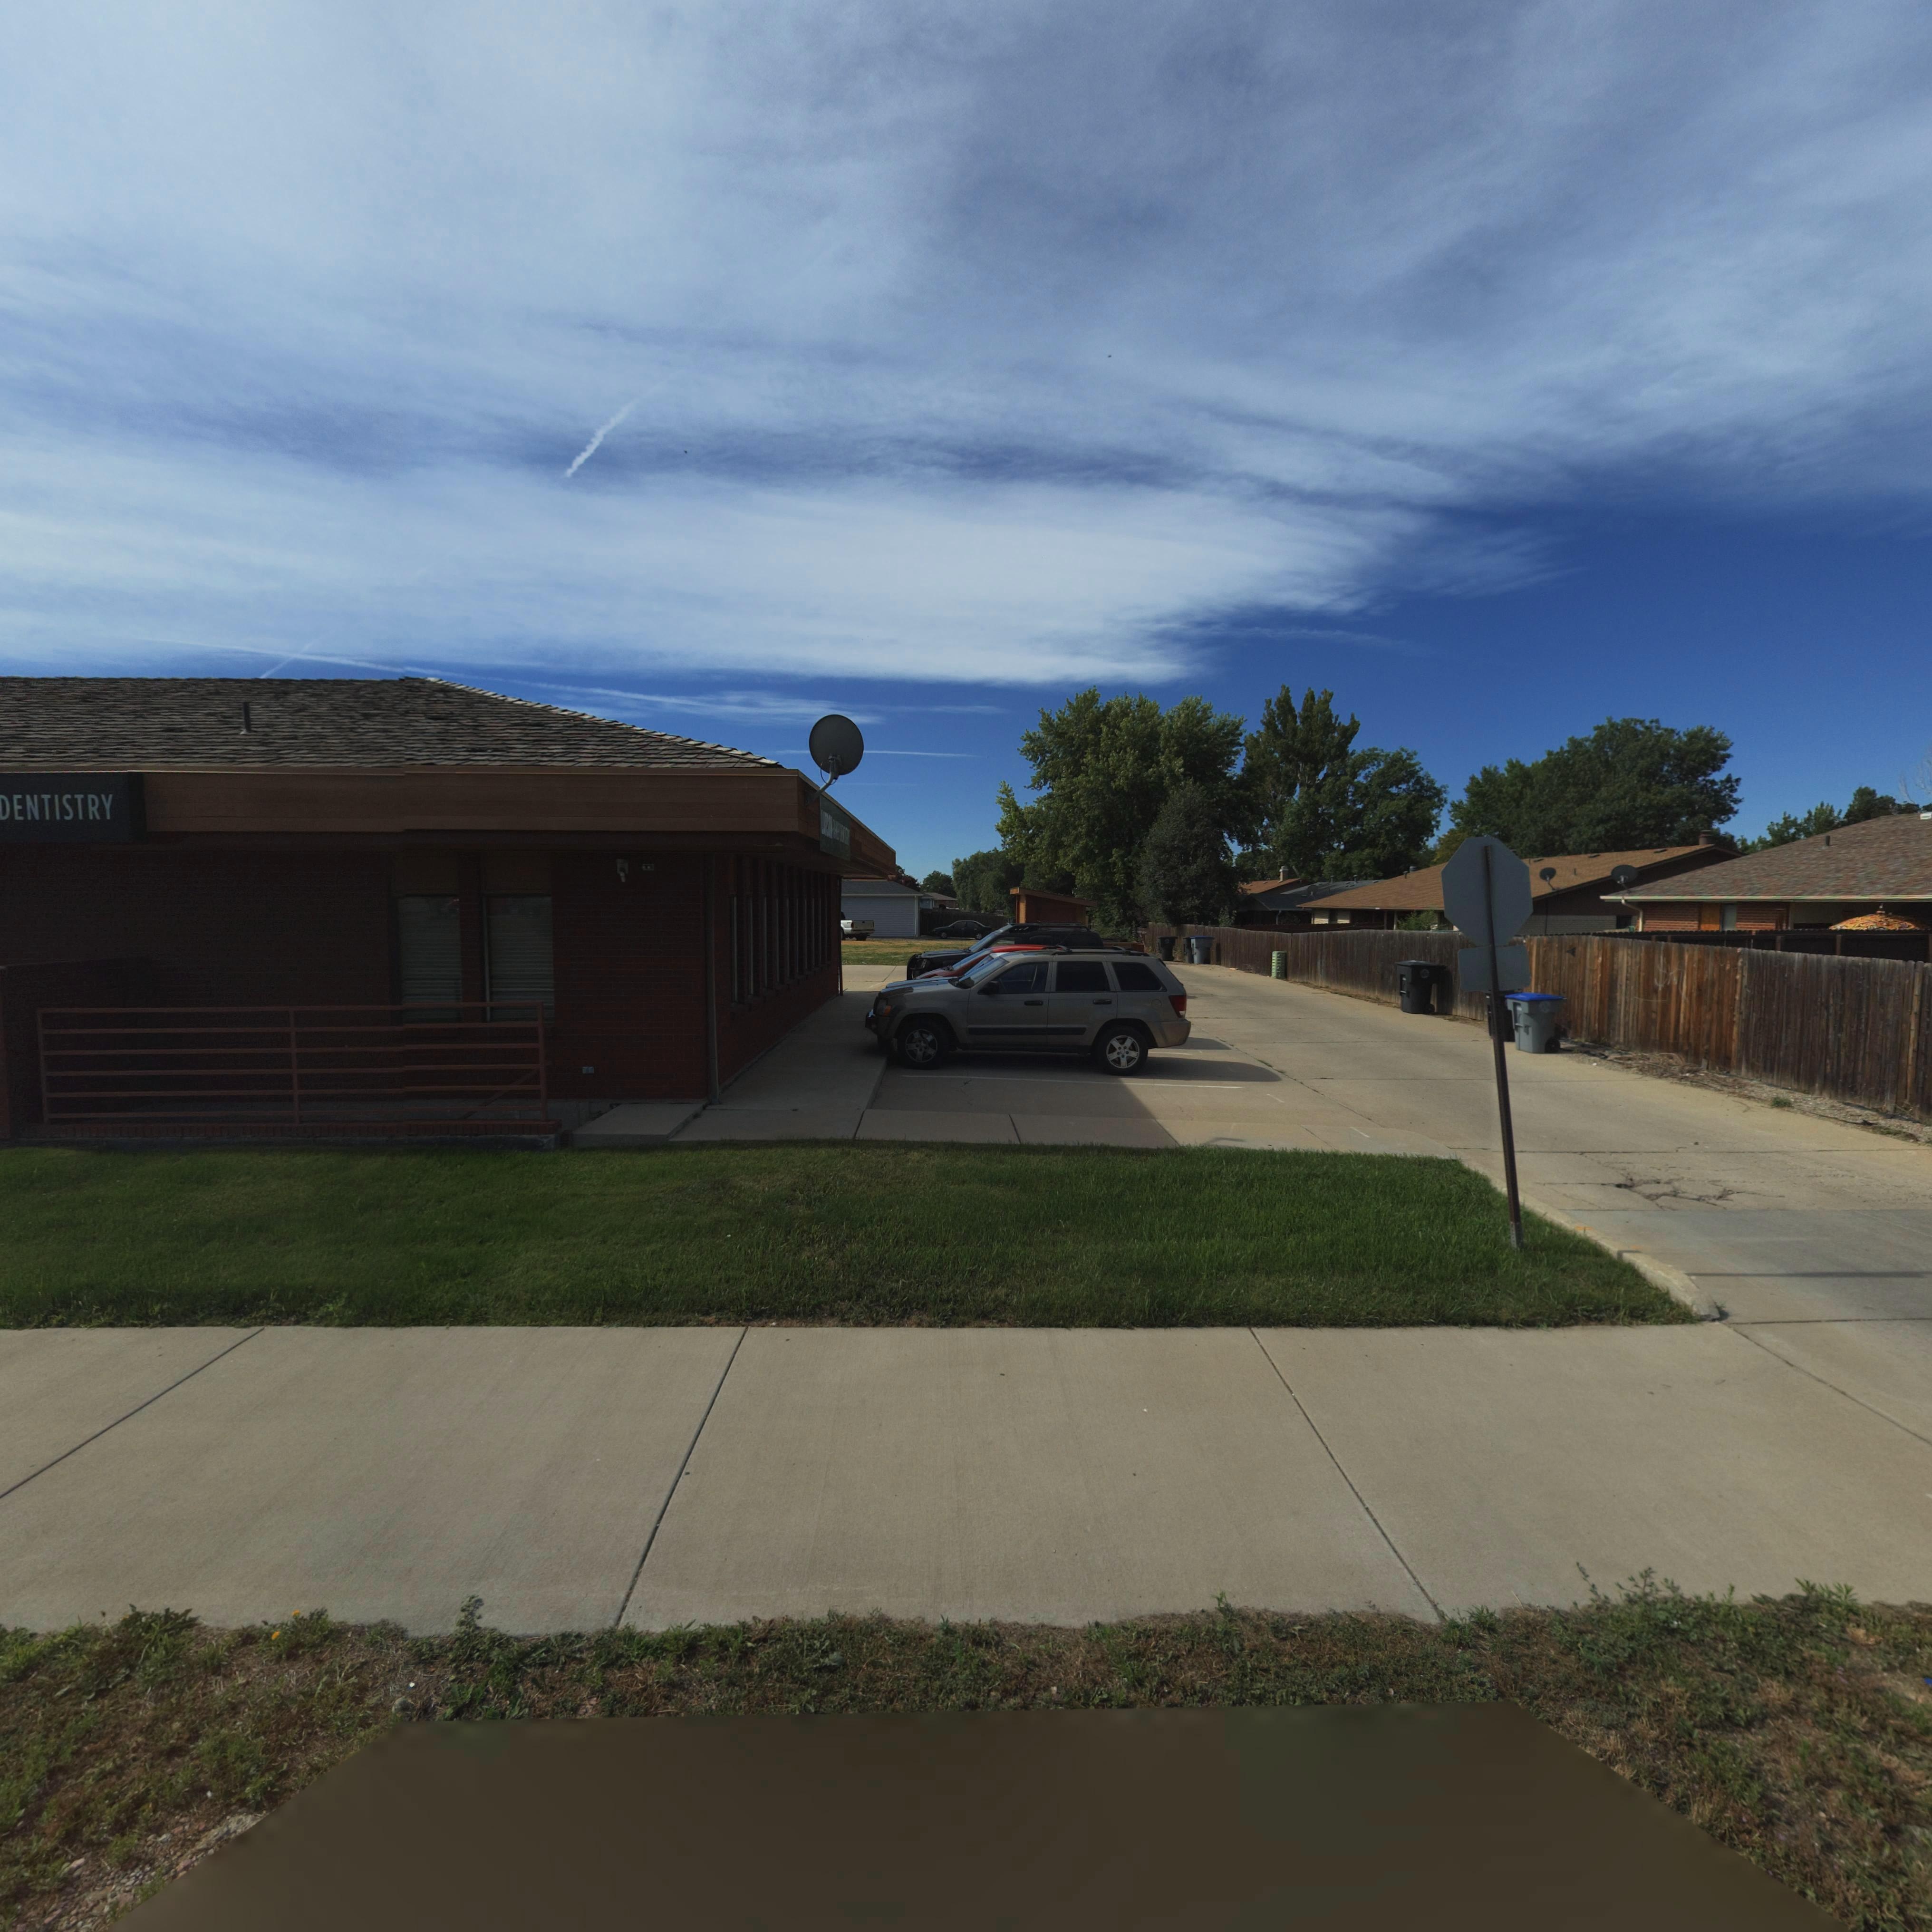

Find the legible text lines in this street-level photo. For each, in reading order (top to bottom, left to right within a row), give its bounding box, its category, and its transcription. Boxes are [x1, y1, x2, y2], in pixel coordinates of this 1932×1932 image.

[12, 793, 114, 821] BusinessName: ENTISTRY
[821, 808, 850, 847] BusinessName: L*SON ****** *********